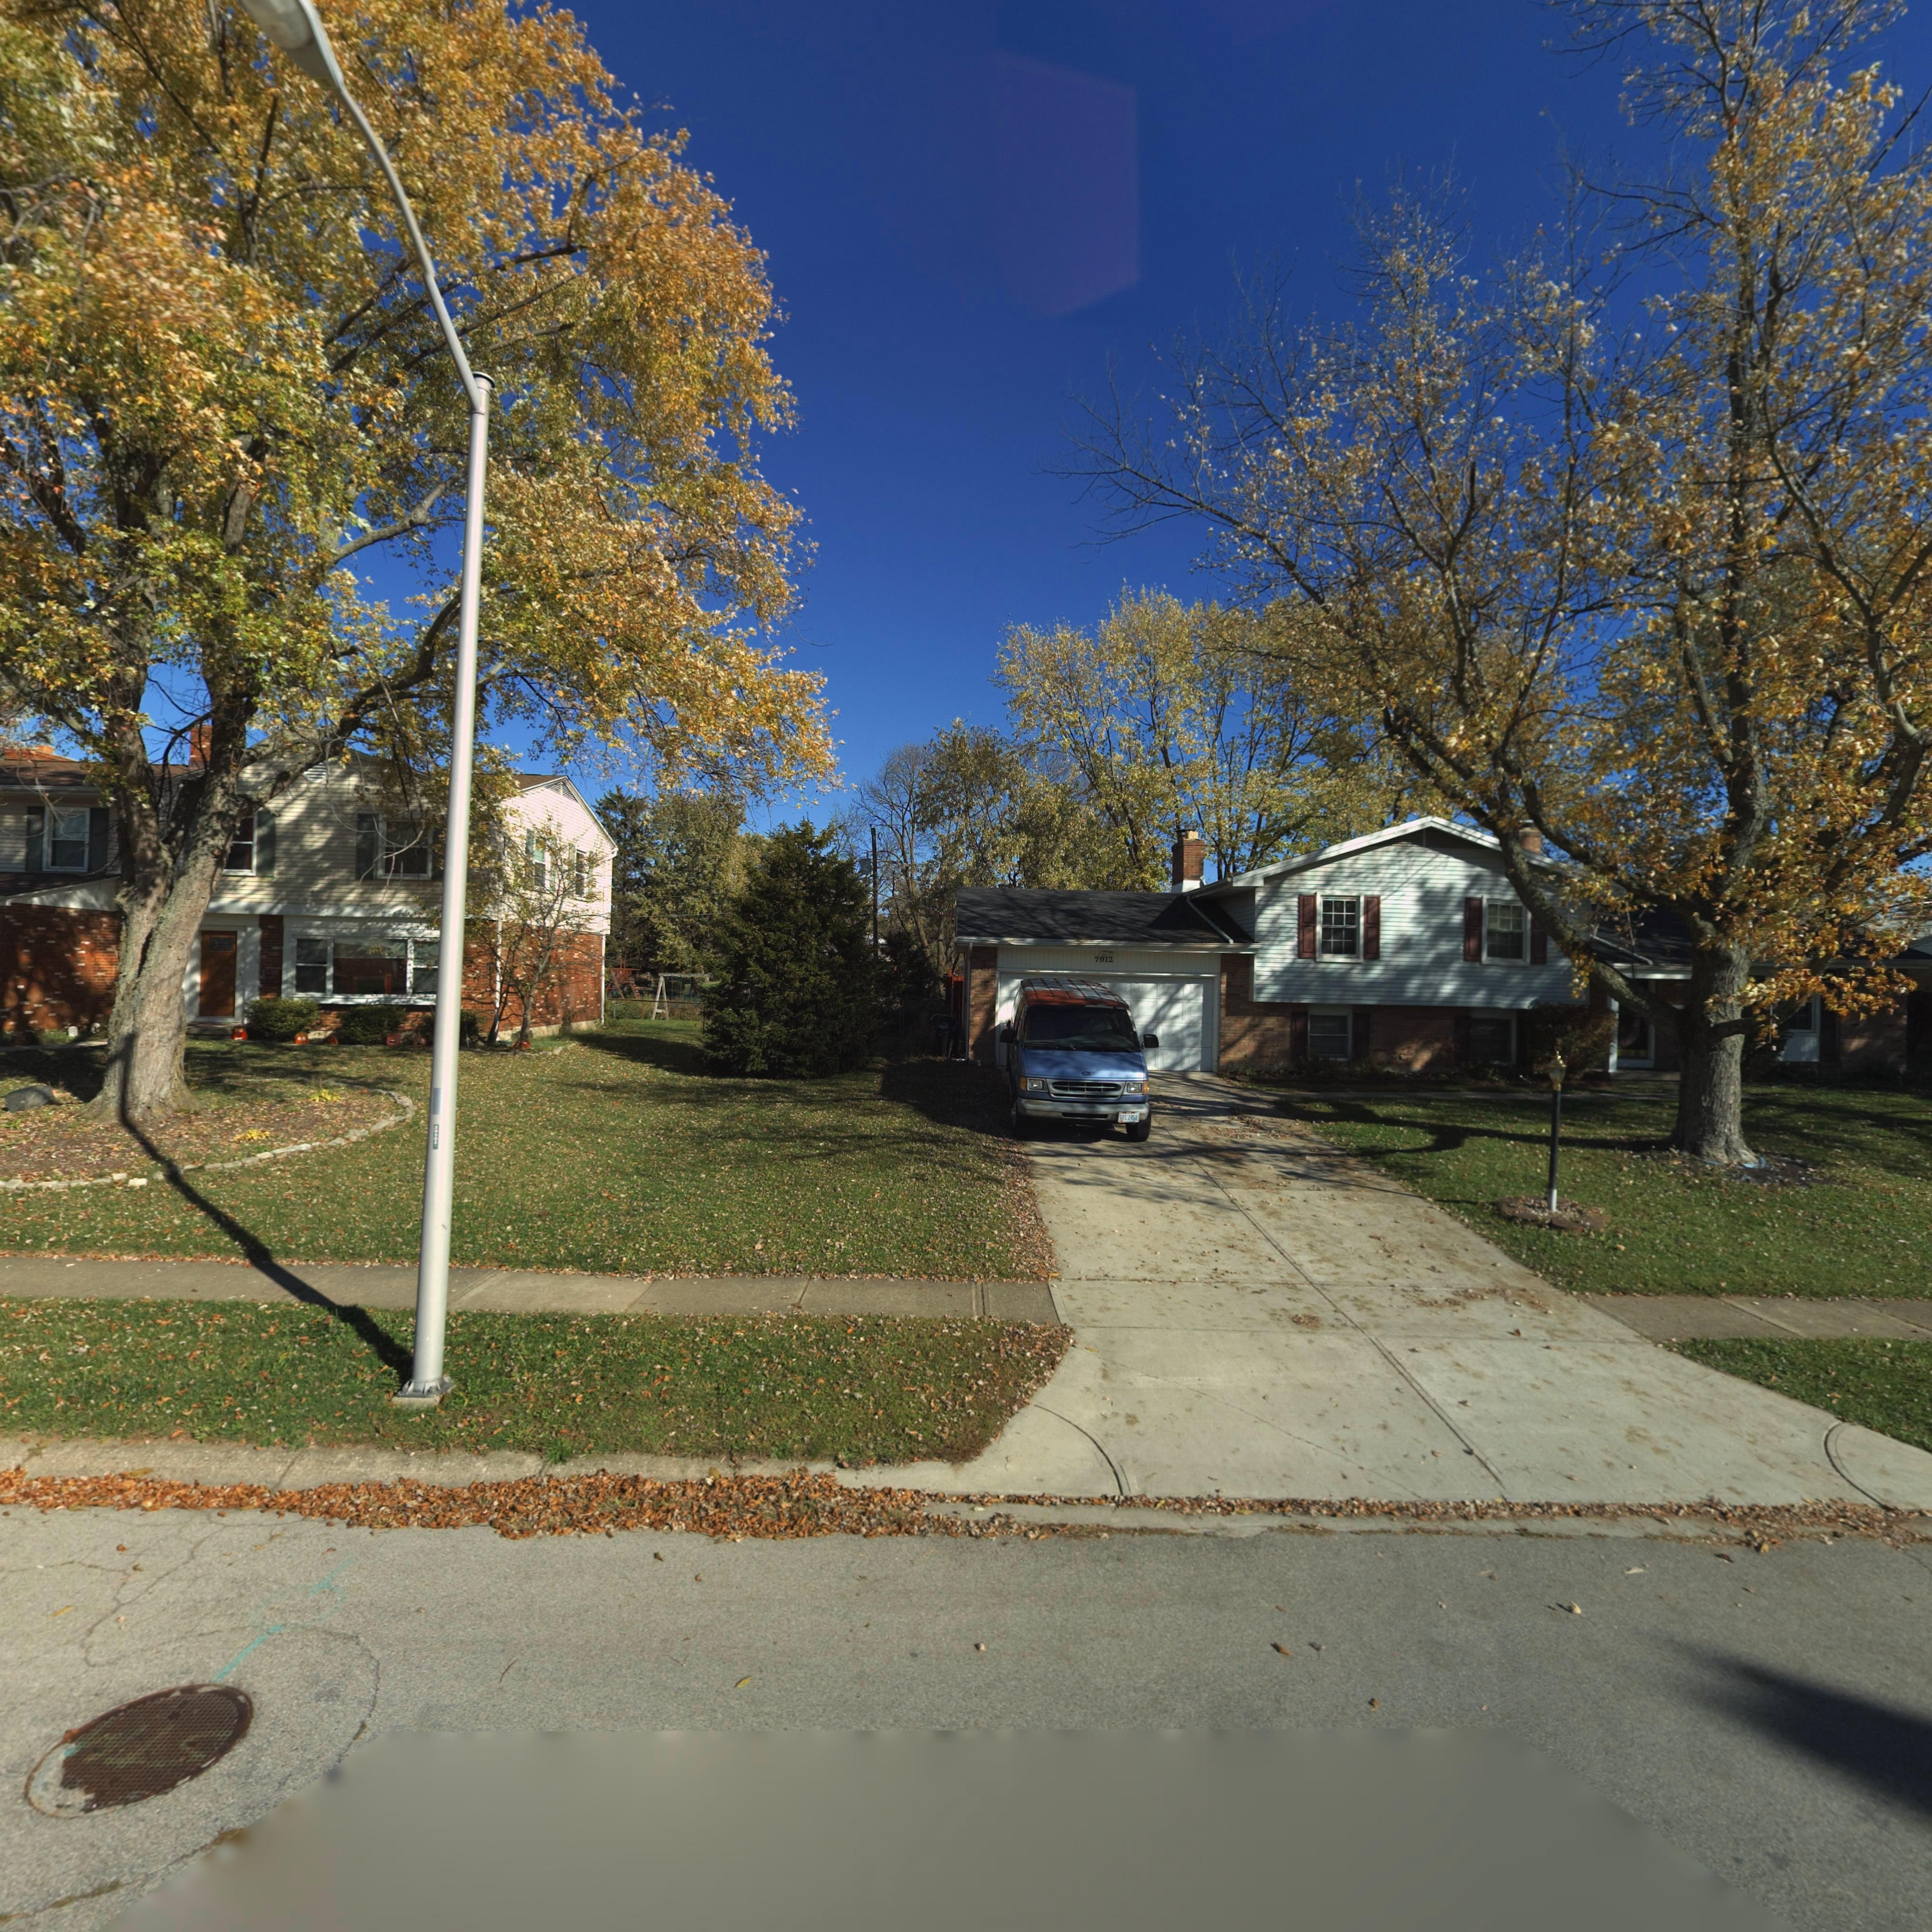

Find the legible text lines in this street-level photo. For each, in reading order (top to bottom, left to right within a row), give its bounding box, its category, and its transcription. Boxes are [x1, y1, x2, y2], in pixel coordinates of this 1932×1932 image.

[1094, 955, 1114, 964] StreetNumber: 7012
[1128, 1114, 1138, 1121] None: 2451